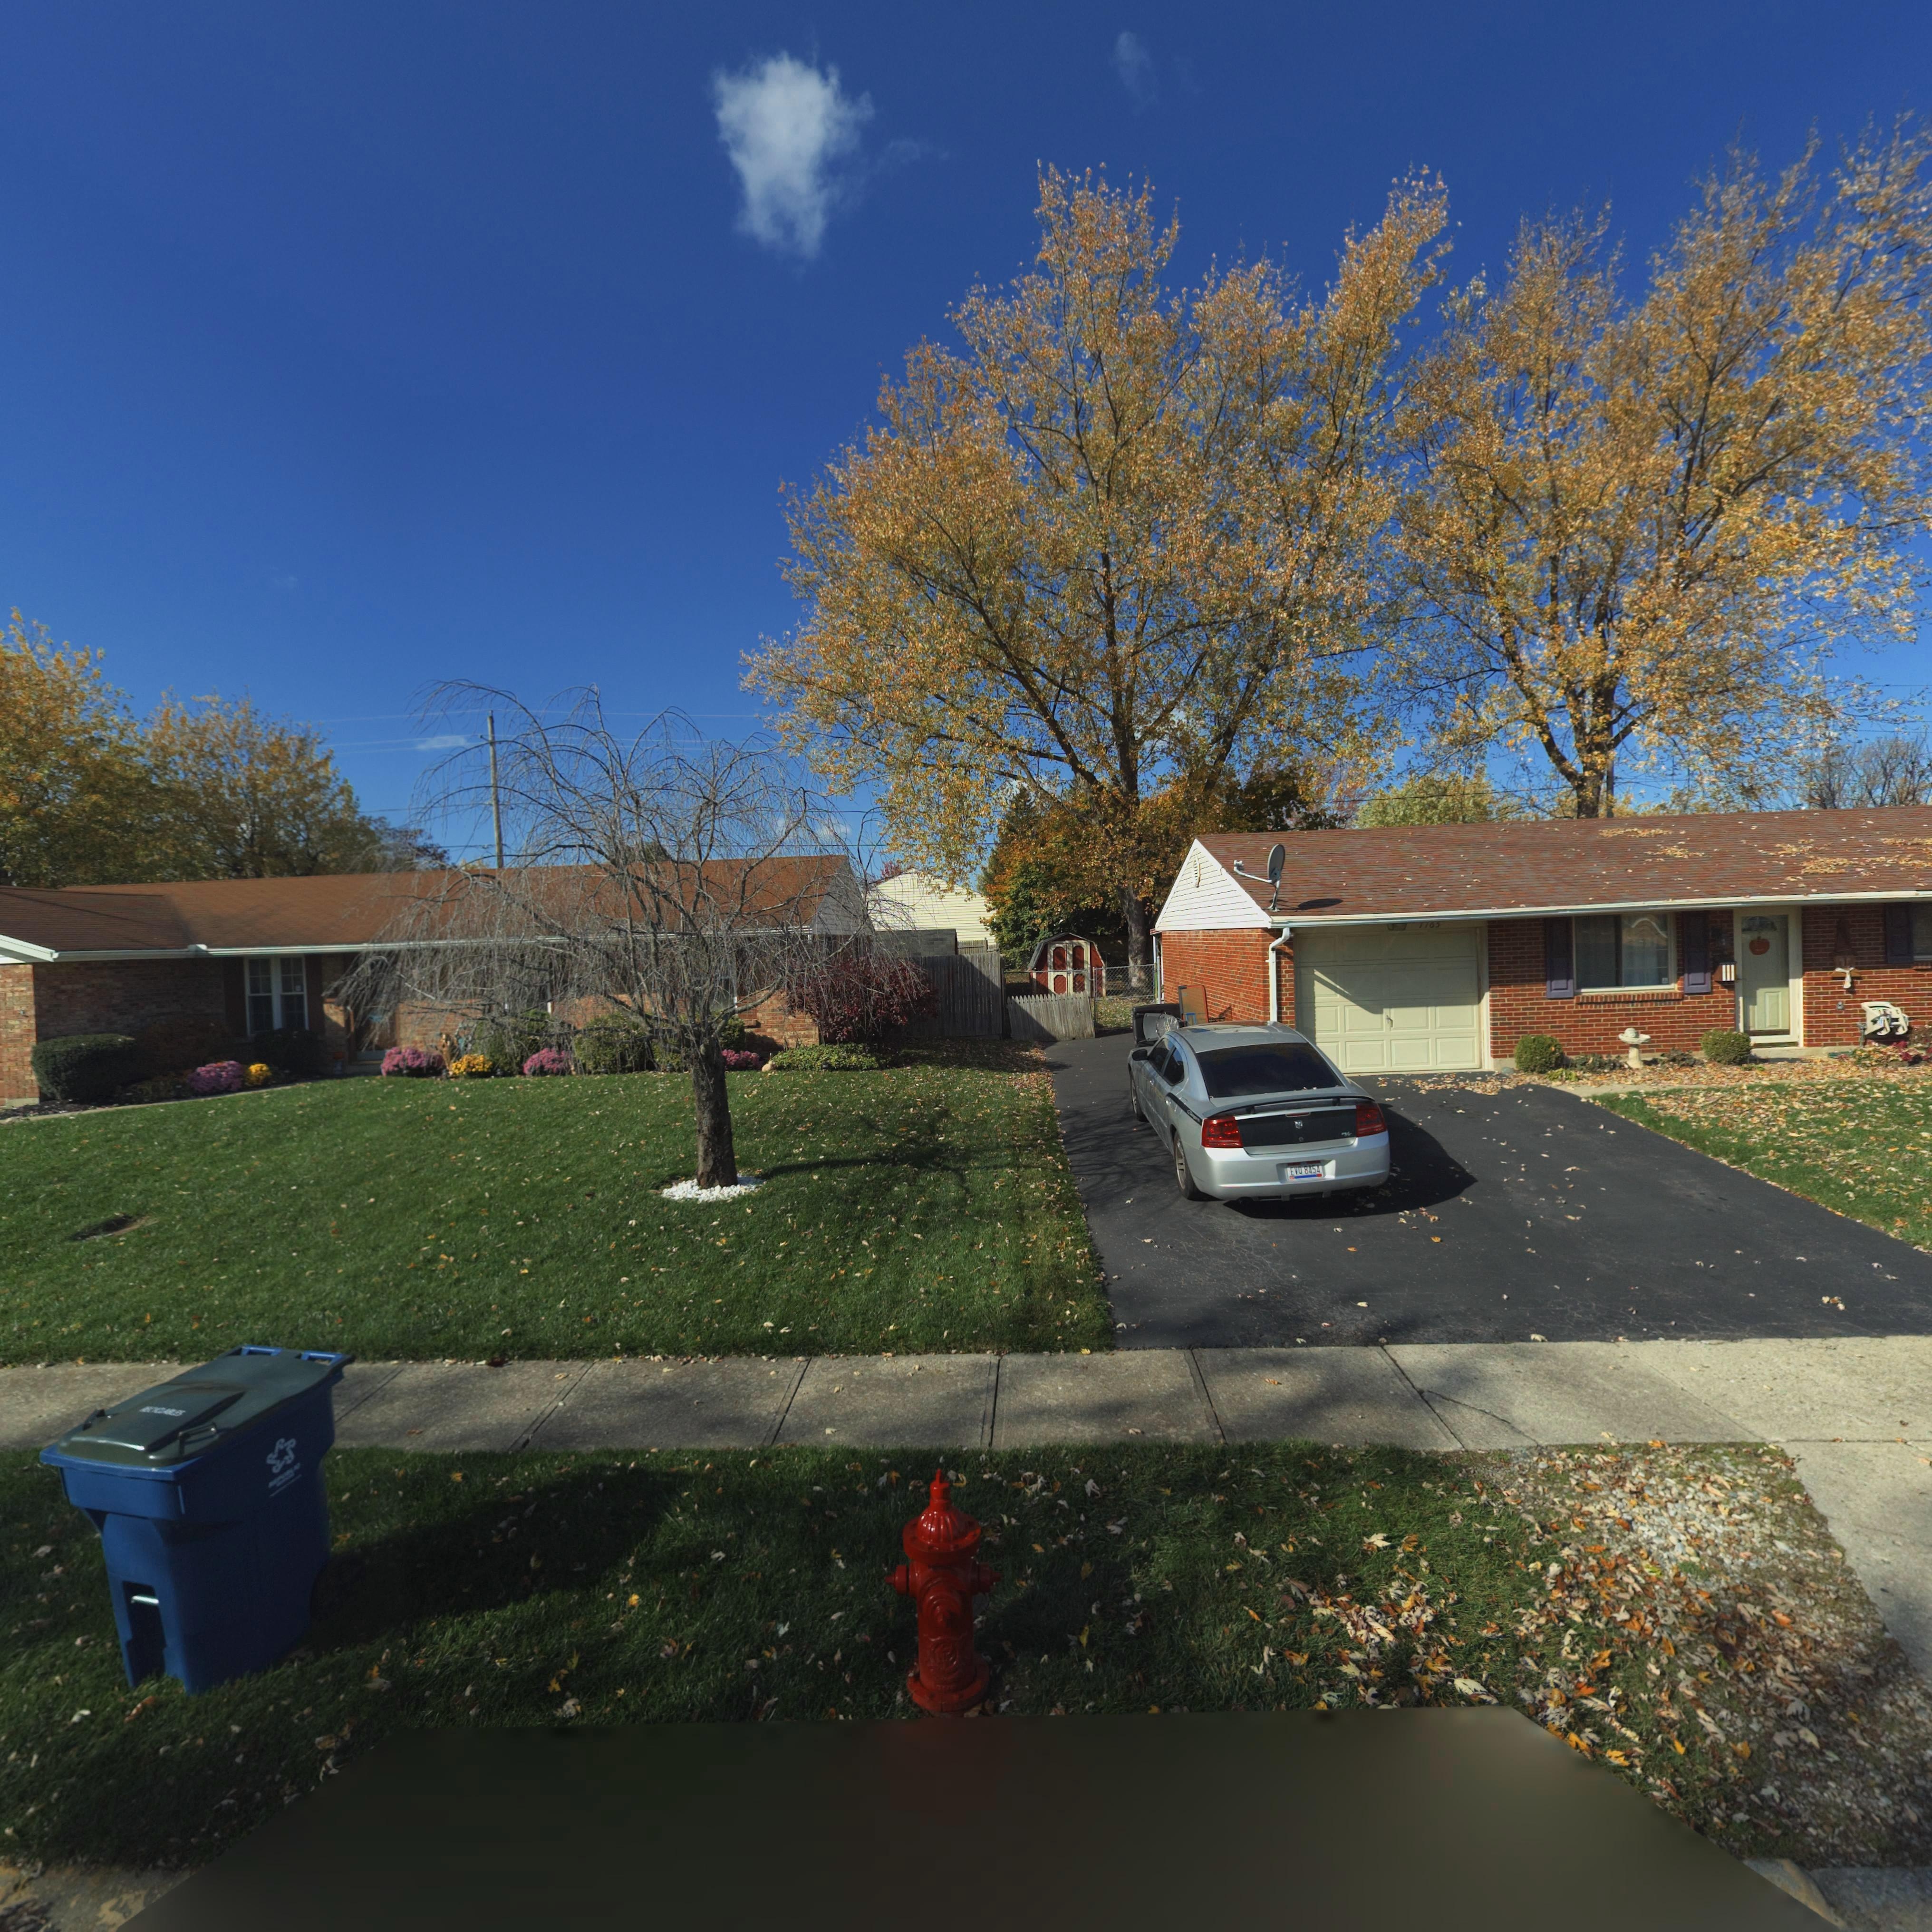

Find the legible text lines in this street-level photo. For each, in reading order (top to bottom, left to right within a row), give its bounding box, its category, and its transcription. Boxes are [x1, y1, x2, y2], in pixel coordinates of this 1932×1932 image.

[1418, 920, 1442, 930] StreetNumber: **6*